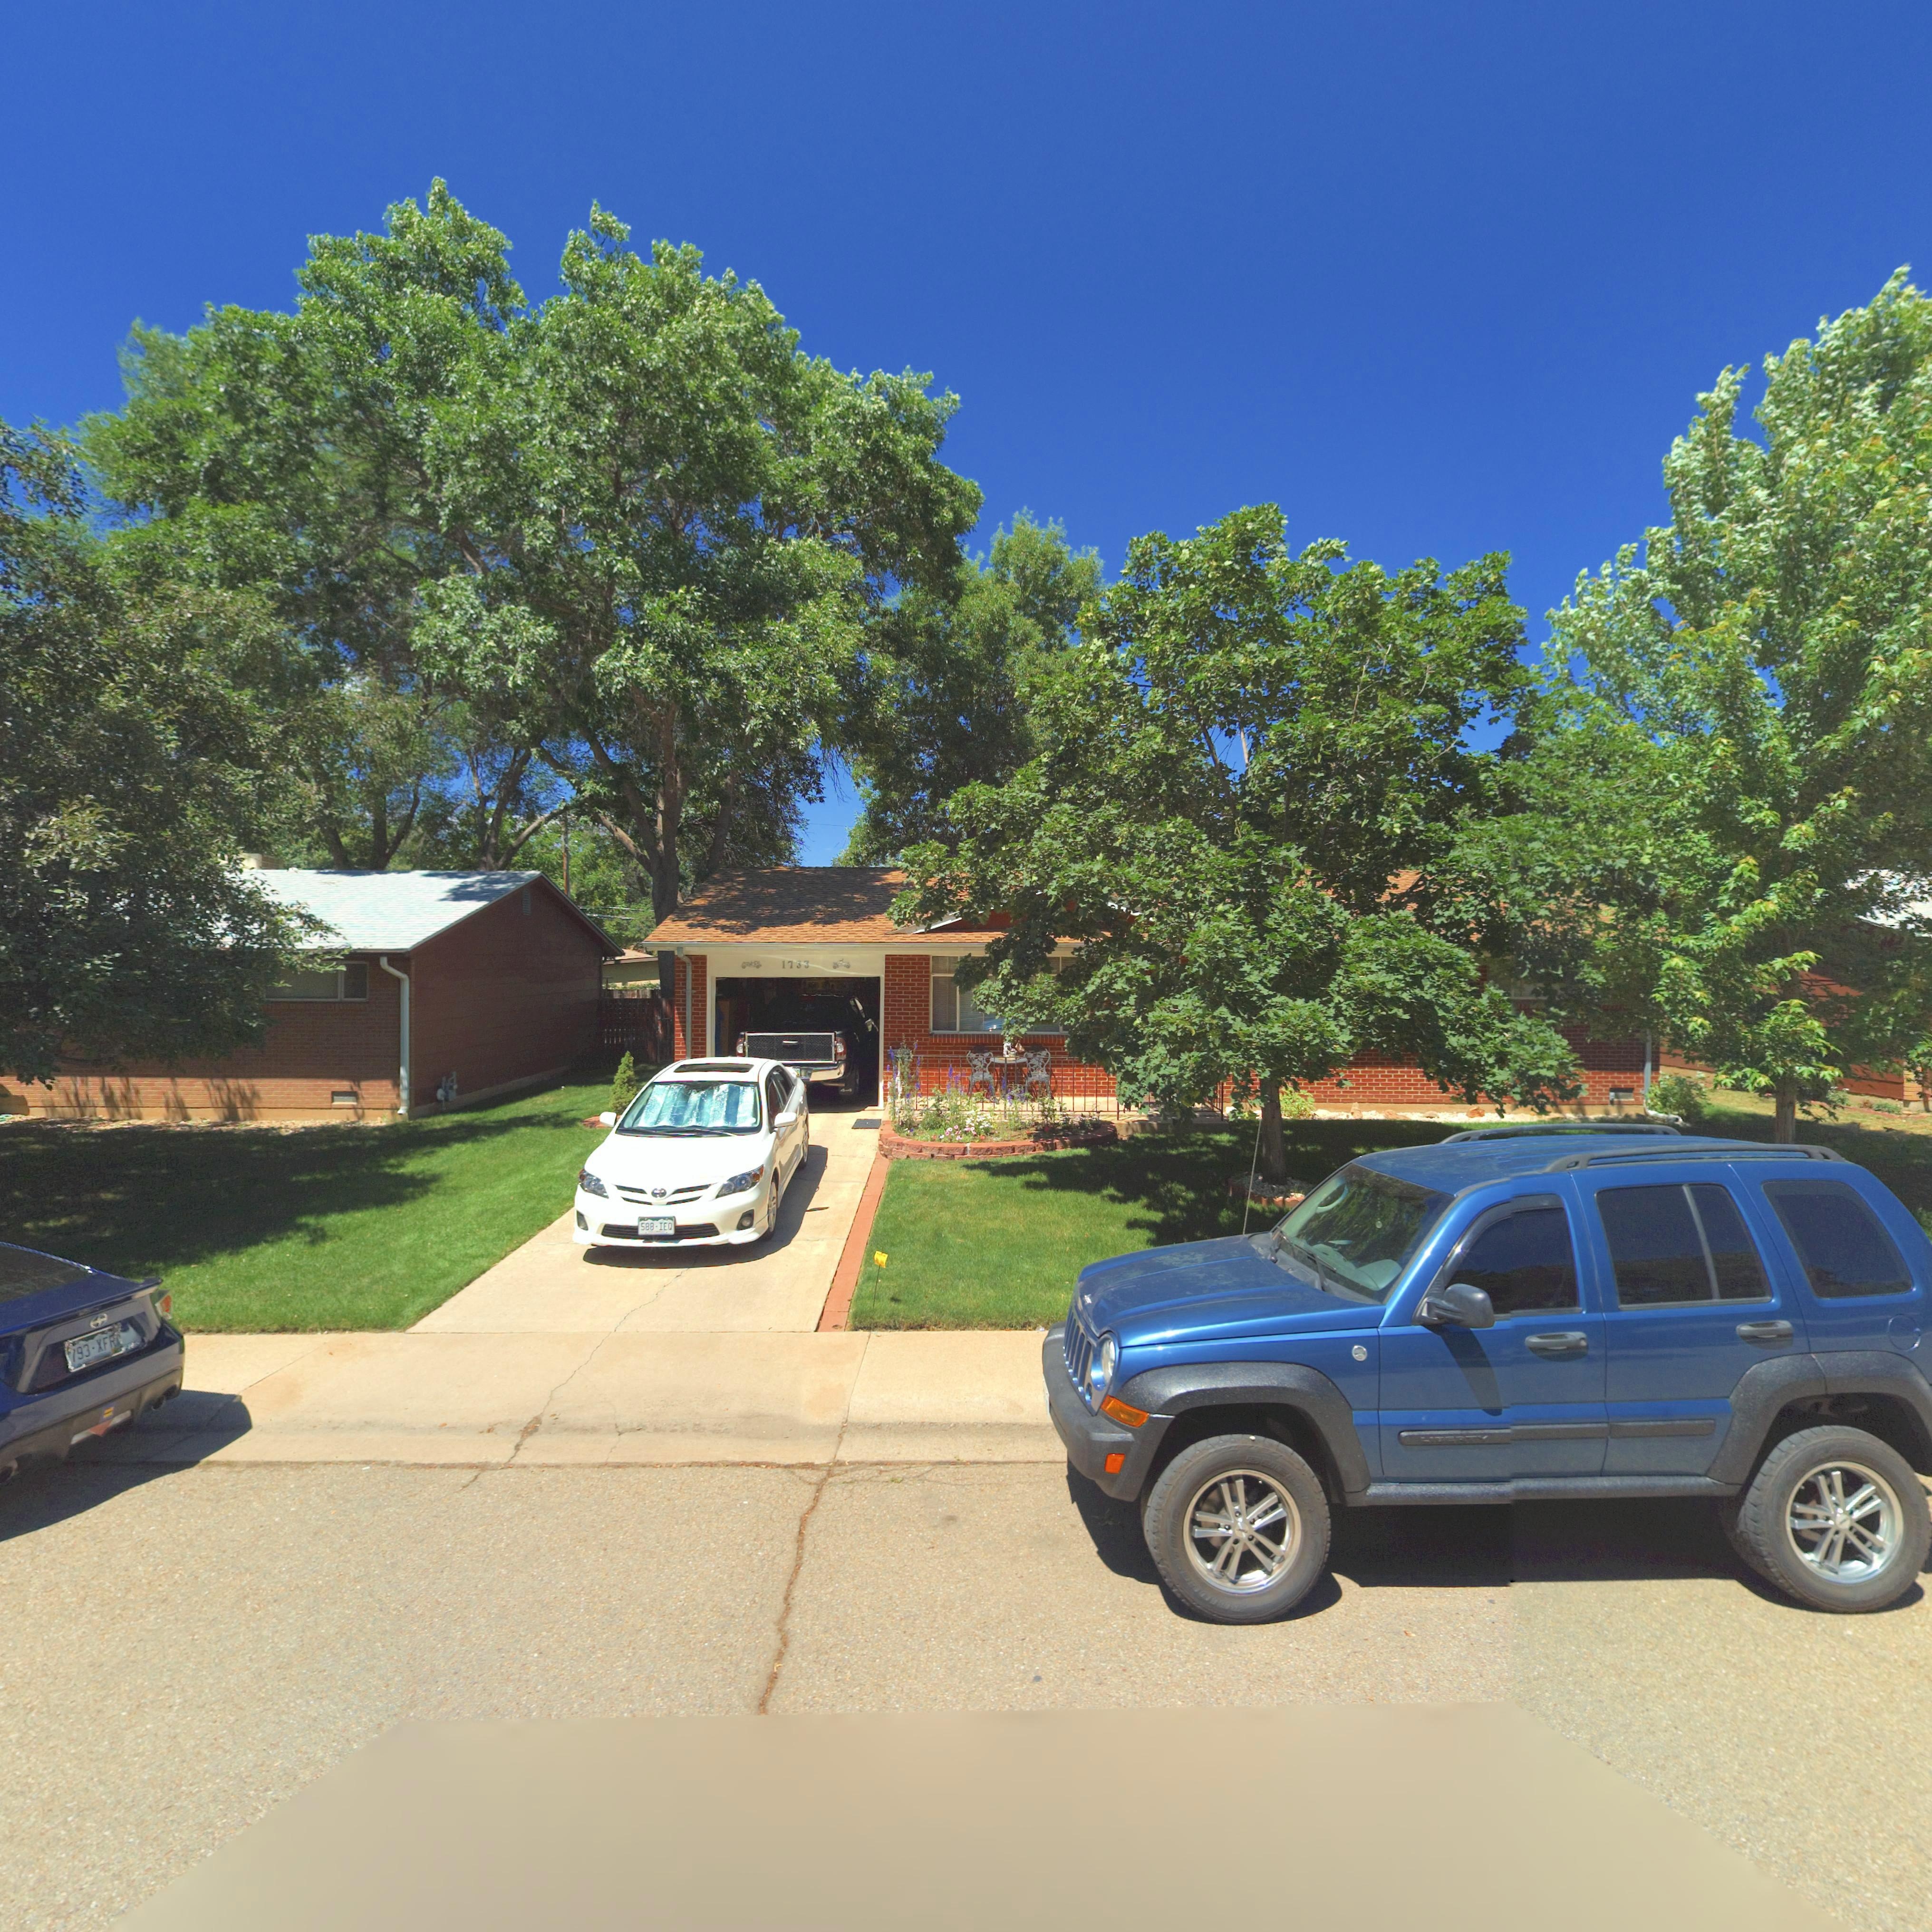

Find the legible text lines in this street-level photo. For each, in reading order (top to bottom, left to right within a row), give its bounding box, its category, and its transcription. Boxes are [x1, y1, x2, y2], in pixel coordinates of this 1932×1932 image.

[781, 960, 810, 969] StreetNumber: 1733